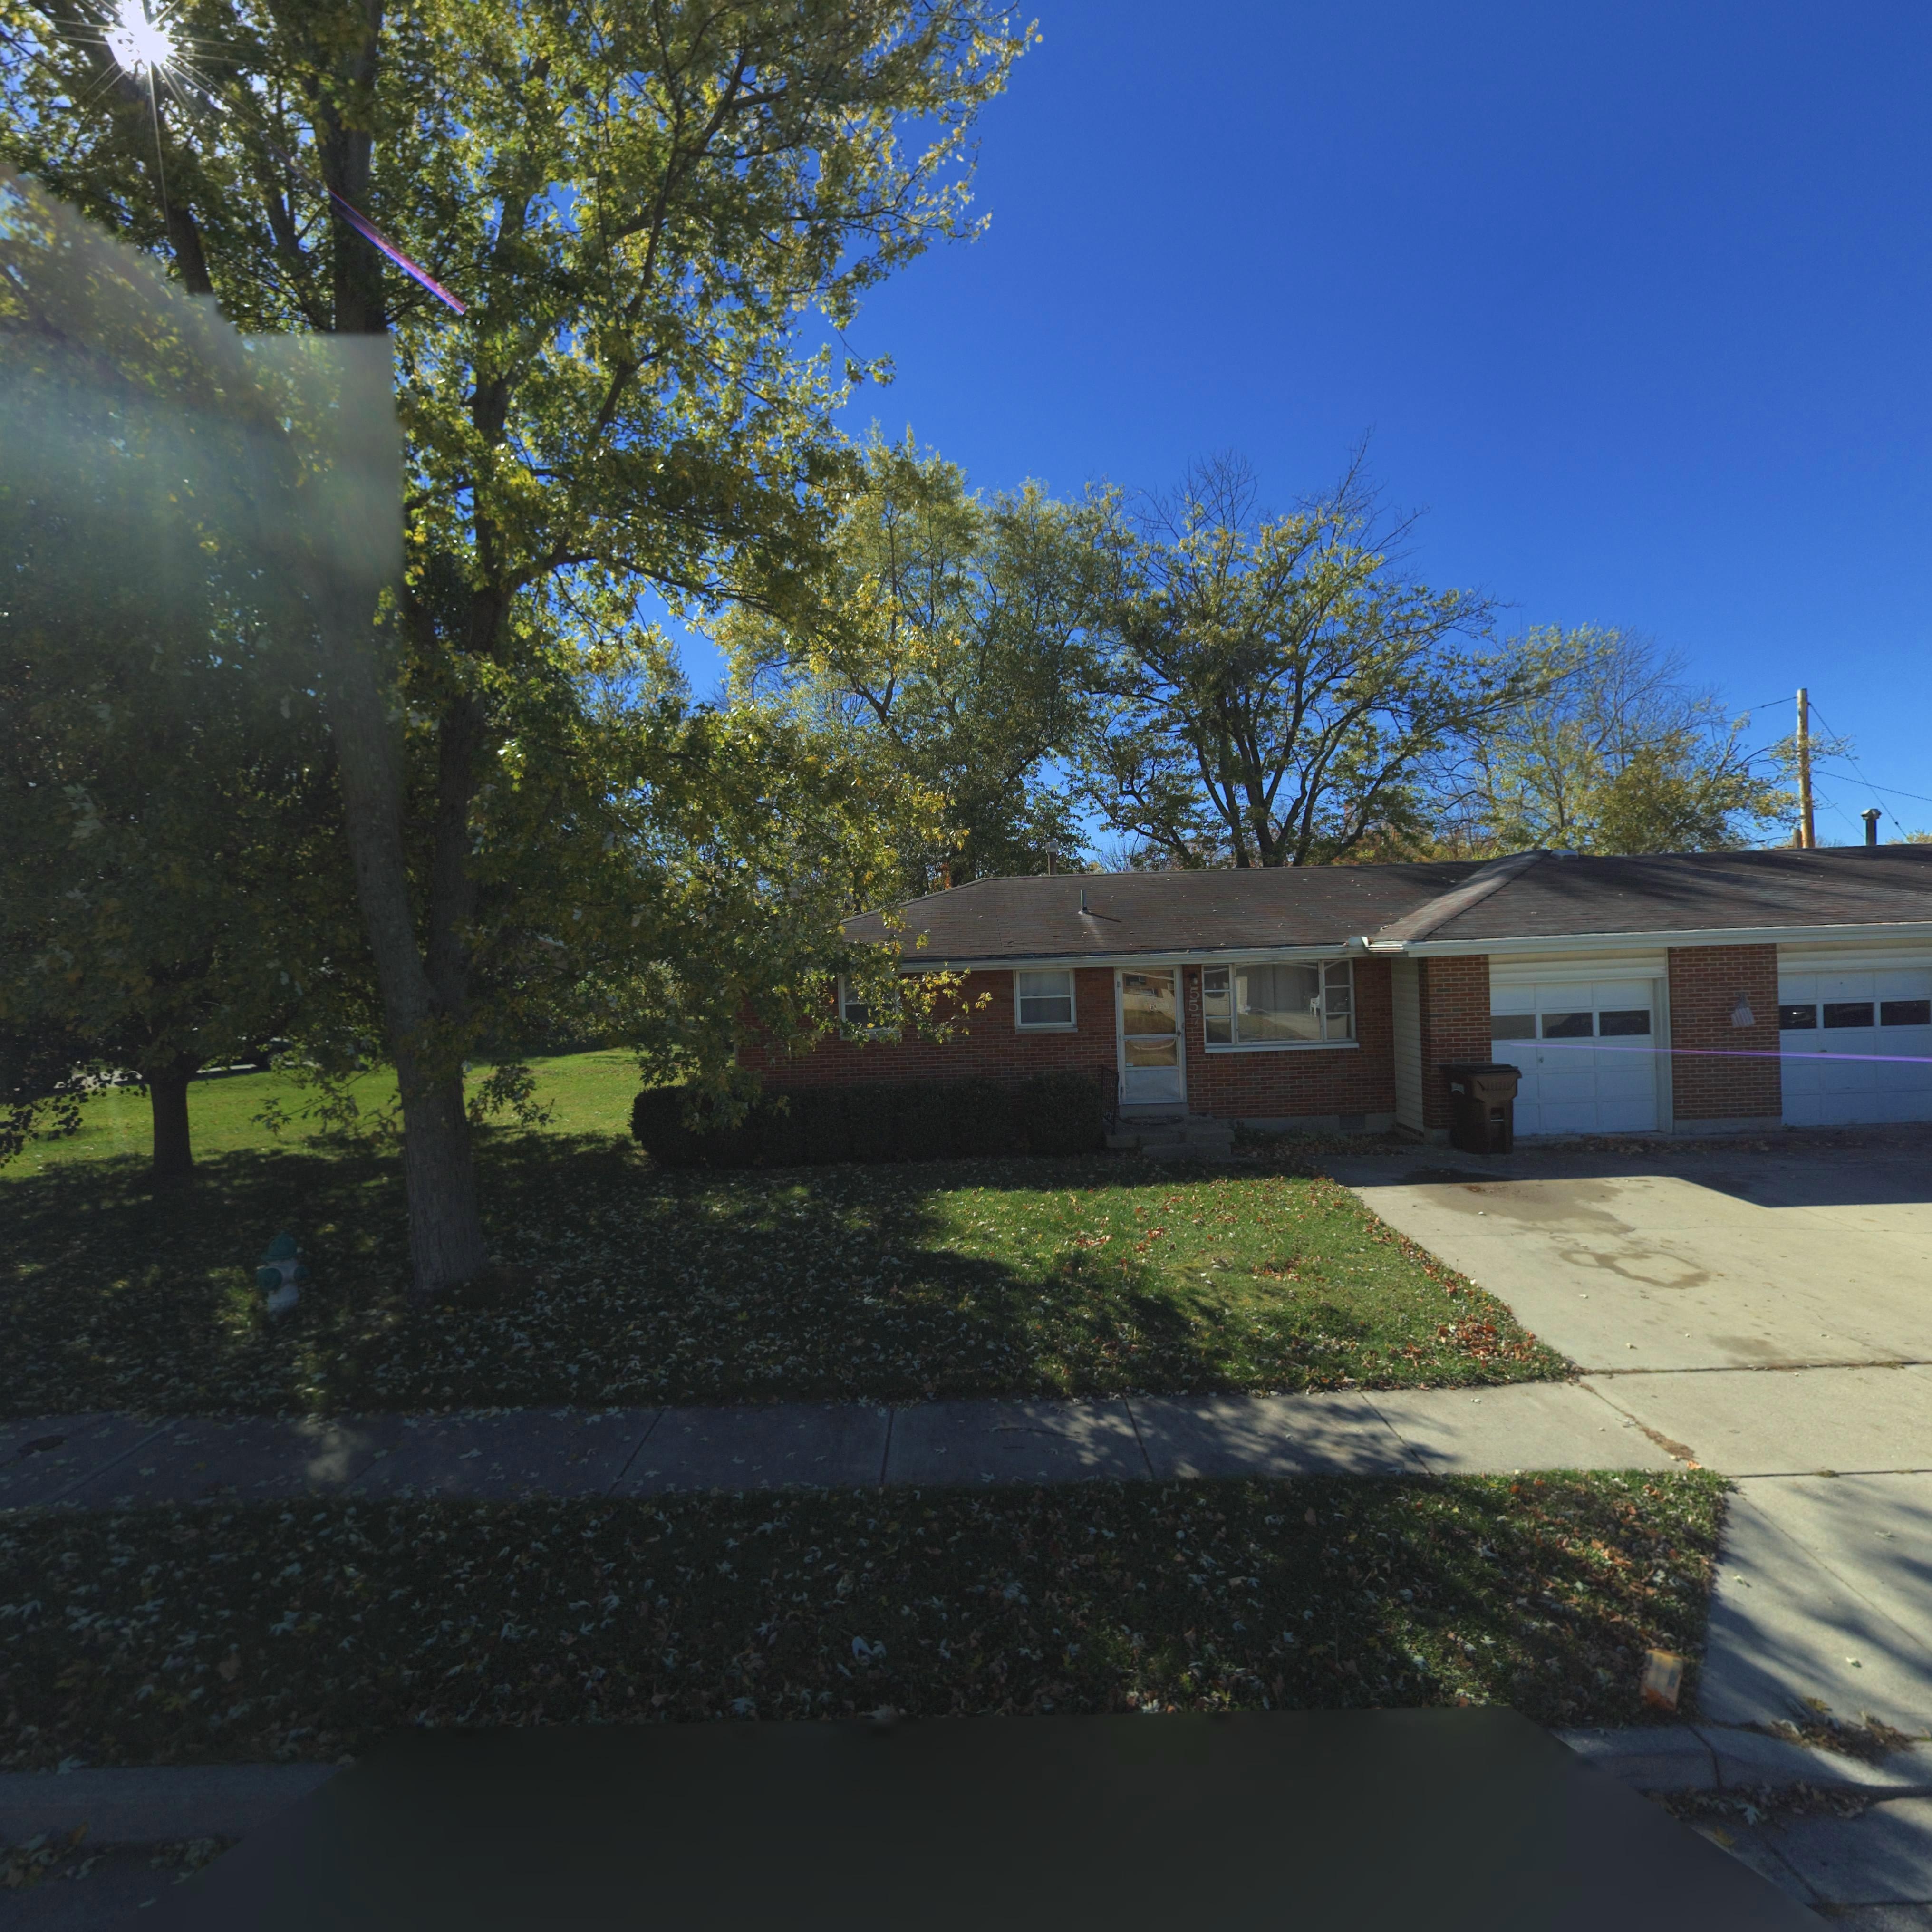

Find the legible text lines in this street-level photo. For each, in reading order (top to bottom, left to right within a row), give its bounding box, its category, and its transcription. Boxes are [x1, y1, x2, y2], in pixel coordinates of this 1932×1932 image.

[1188, 986, 1201, 1026] StreetNumber: 557